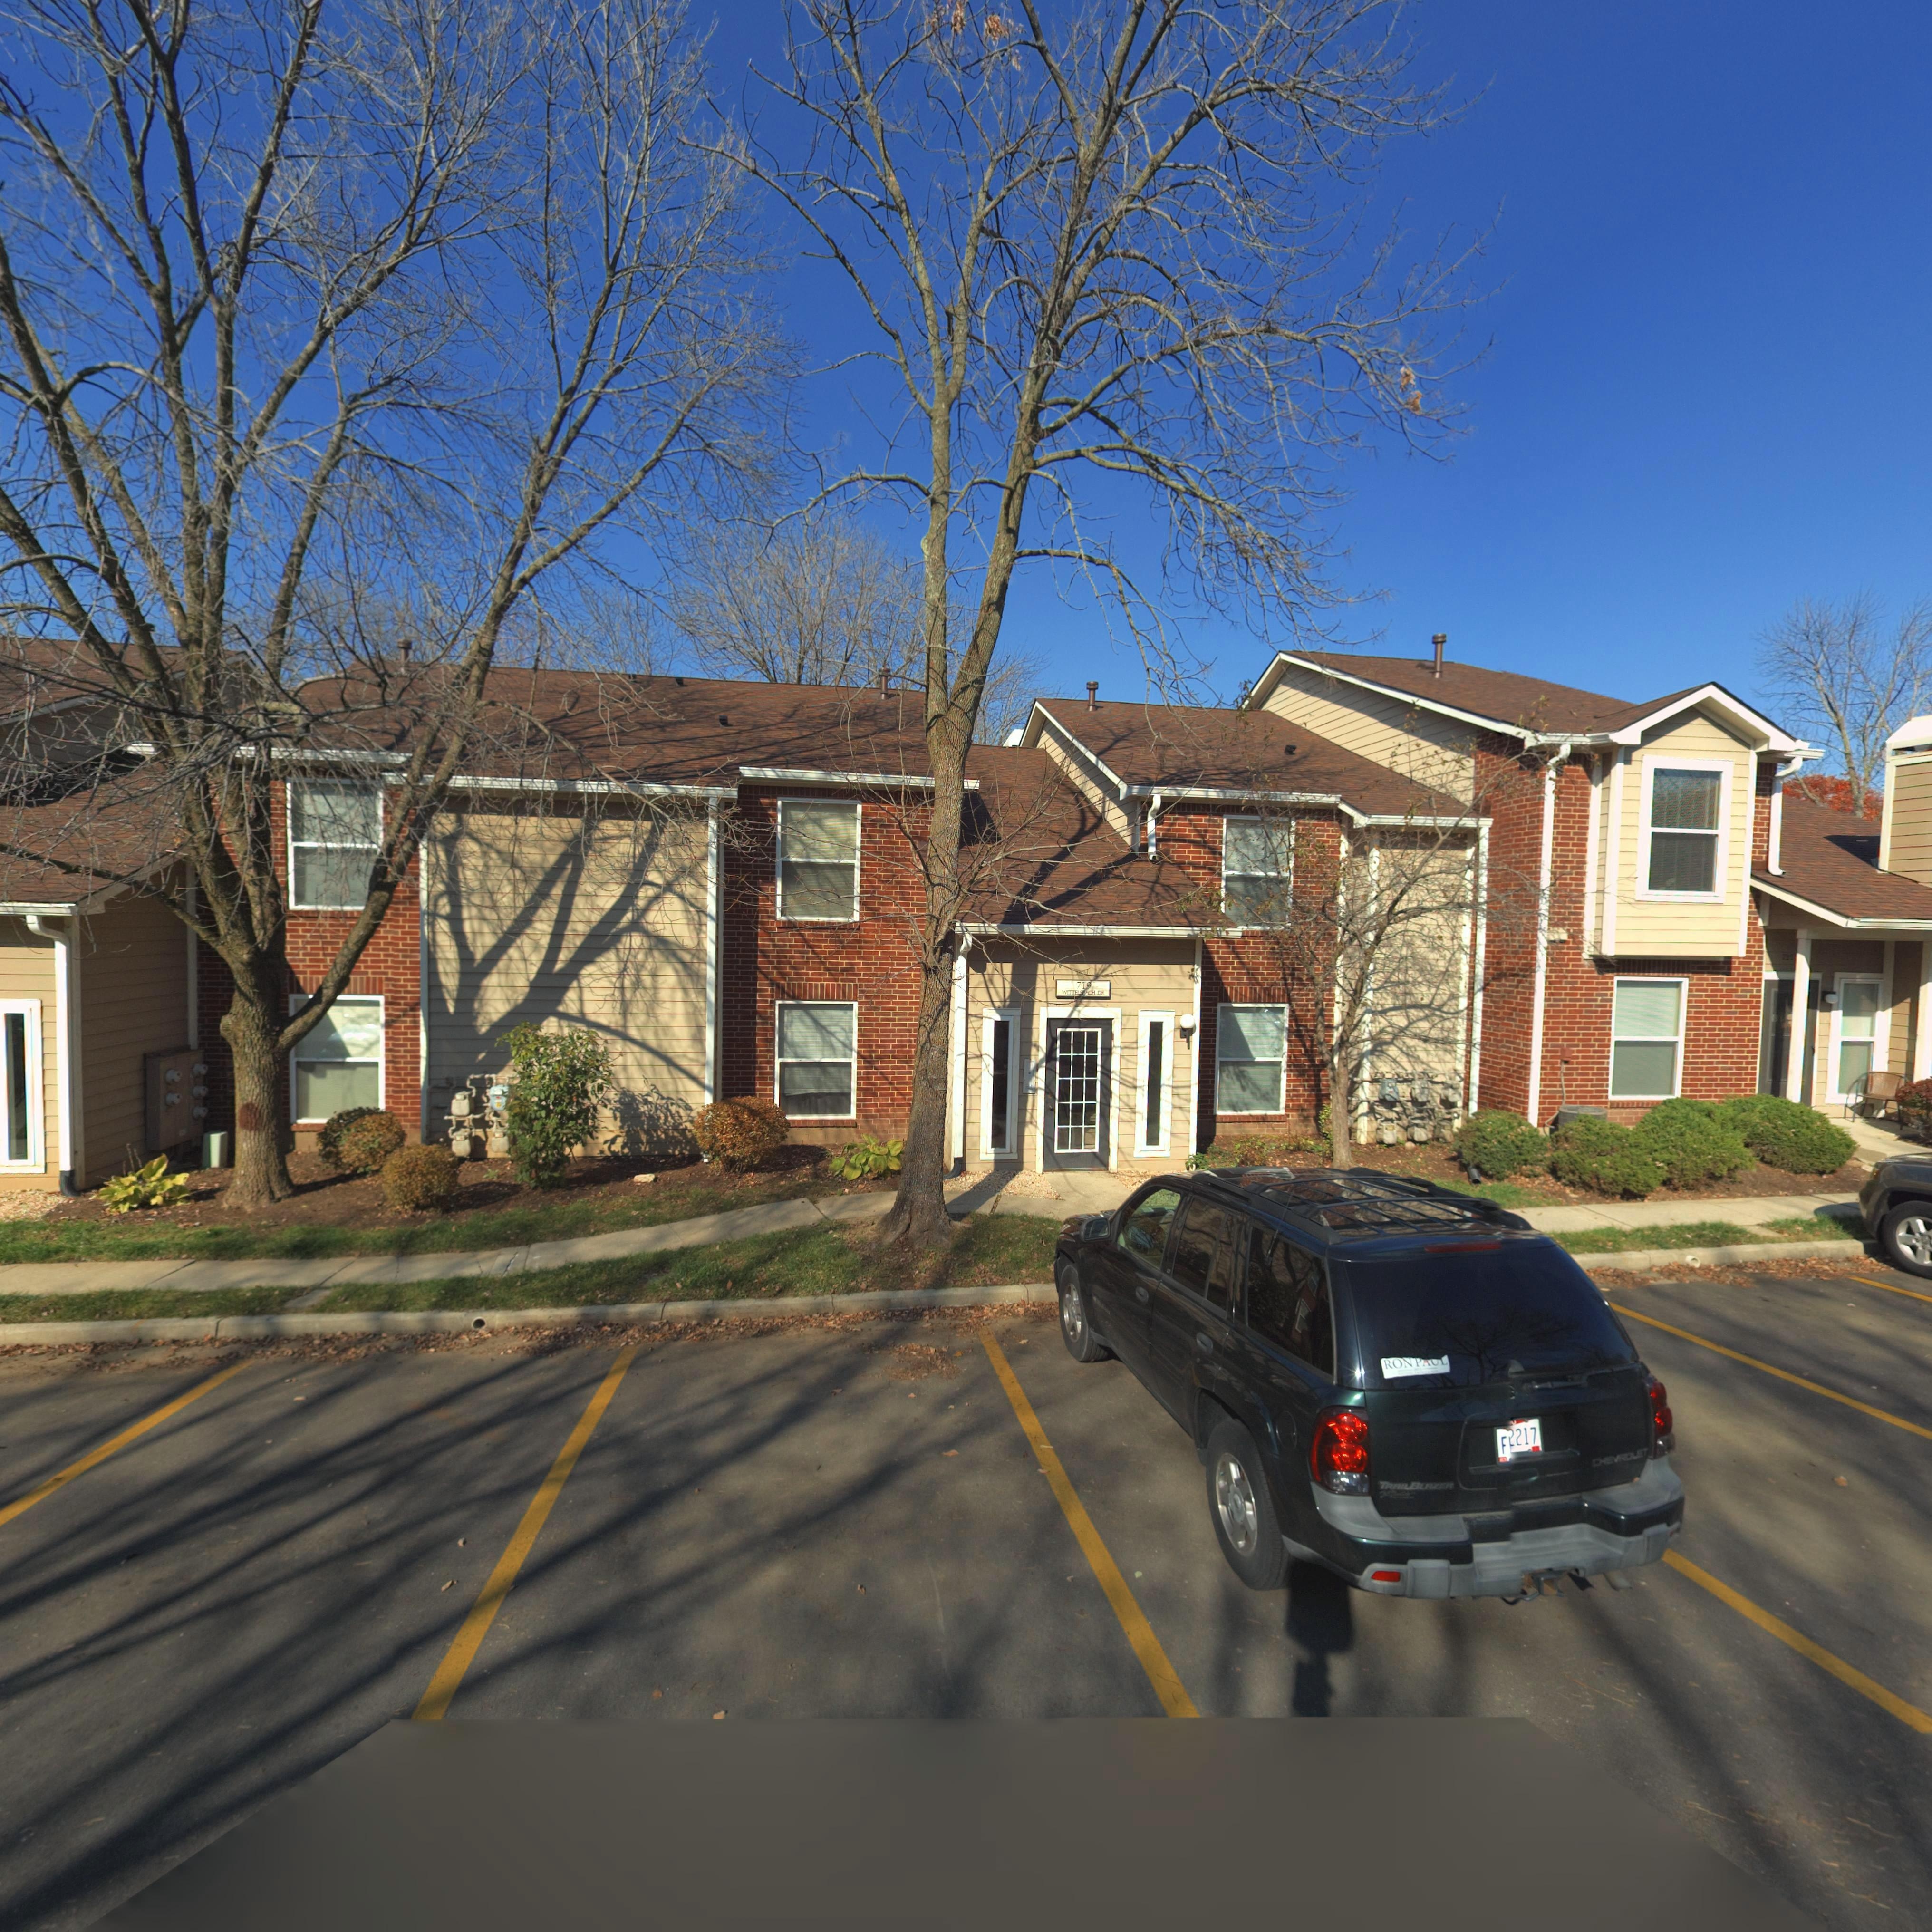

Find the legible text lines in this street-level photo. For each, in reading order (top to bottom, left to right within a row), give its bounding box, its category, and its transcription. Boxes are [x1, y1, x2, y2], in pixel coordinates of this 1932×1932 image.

[1076, 981, 1092, 990] StreetNumber: 719
[1381, 1356, 1415, 1371] None: RON
[1500, 1434, 1508, 1456] None: F
[1514, 1425, 1538, 1447] None: 217
[1591, 1446, 1650, 1469] None: CHEVROLET
[1376, 1479, 1456, 1491] None: TRAIL BLAZER